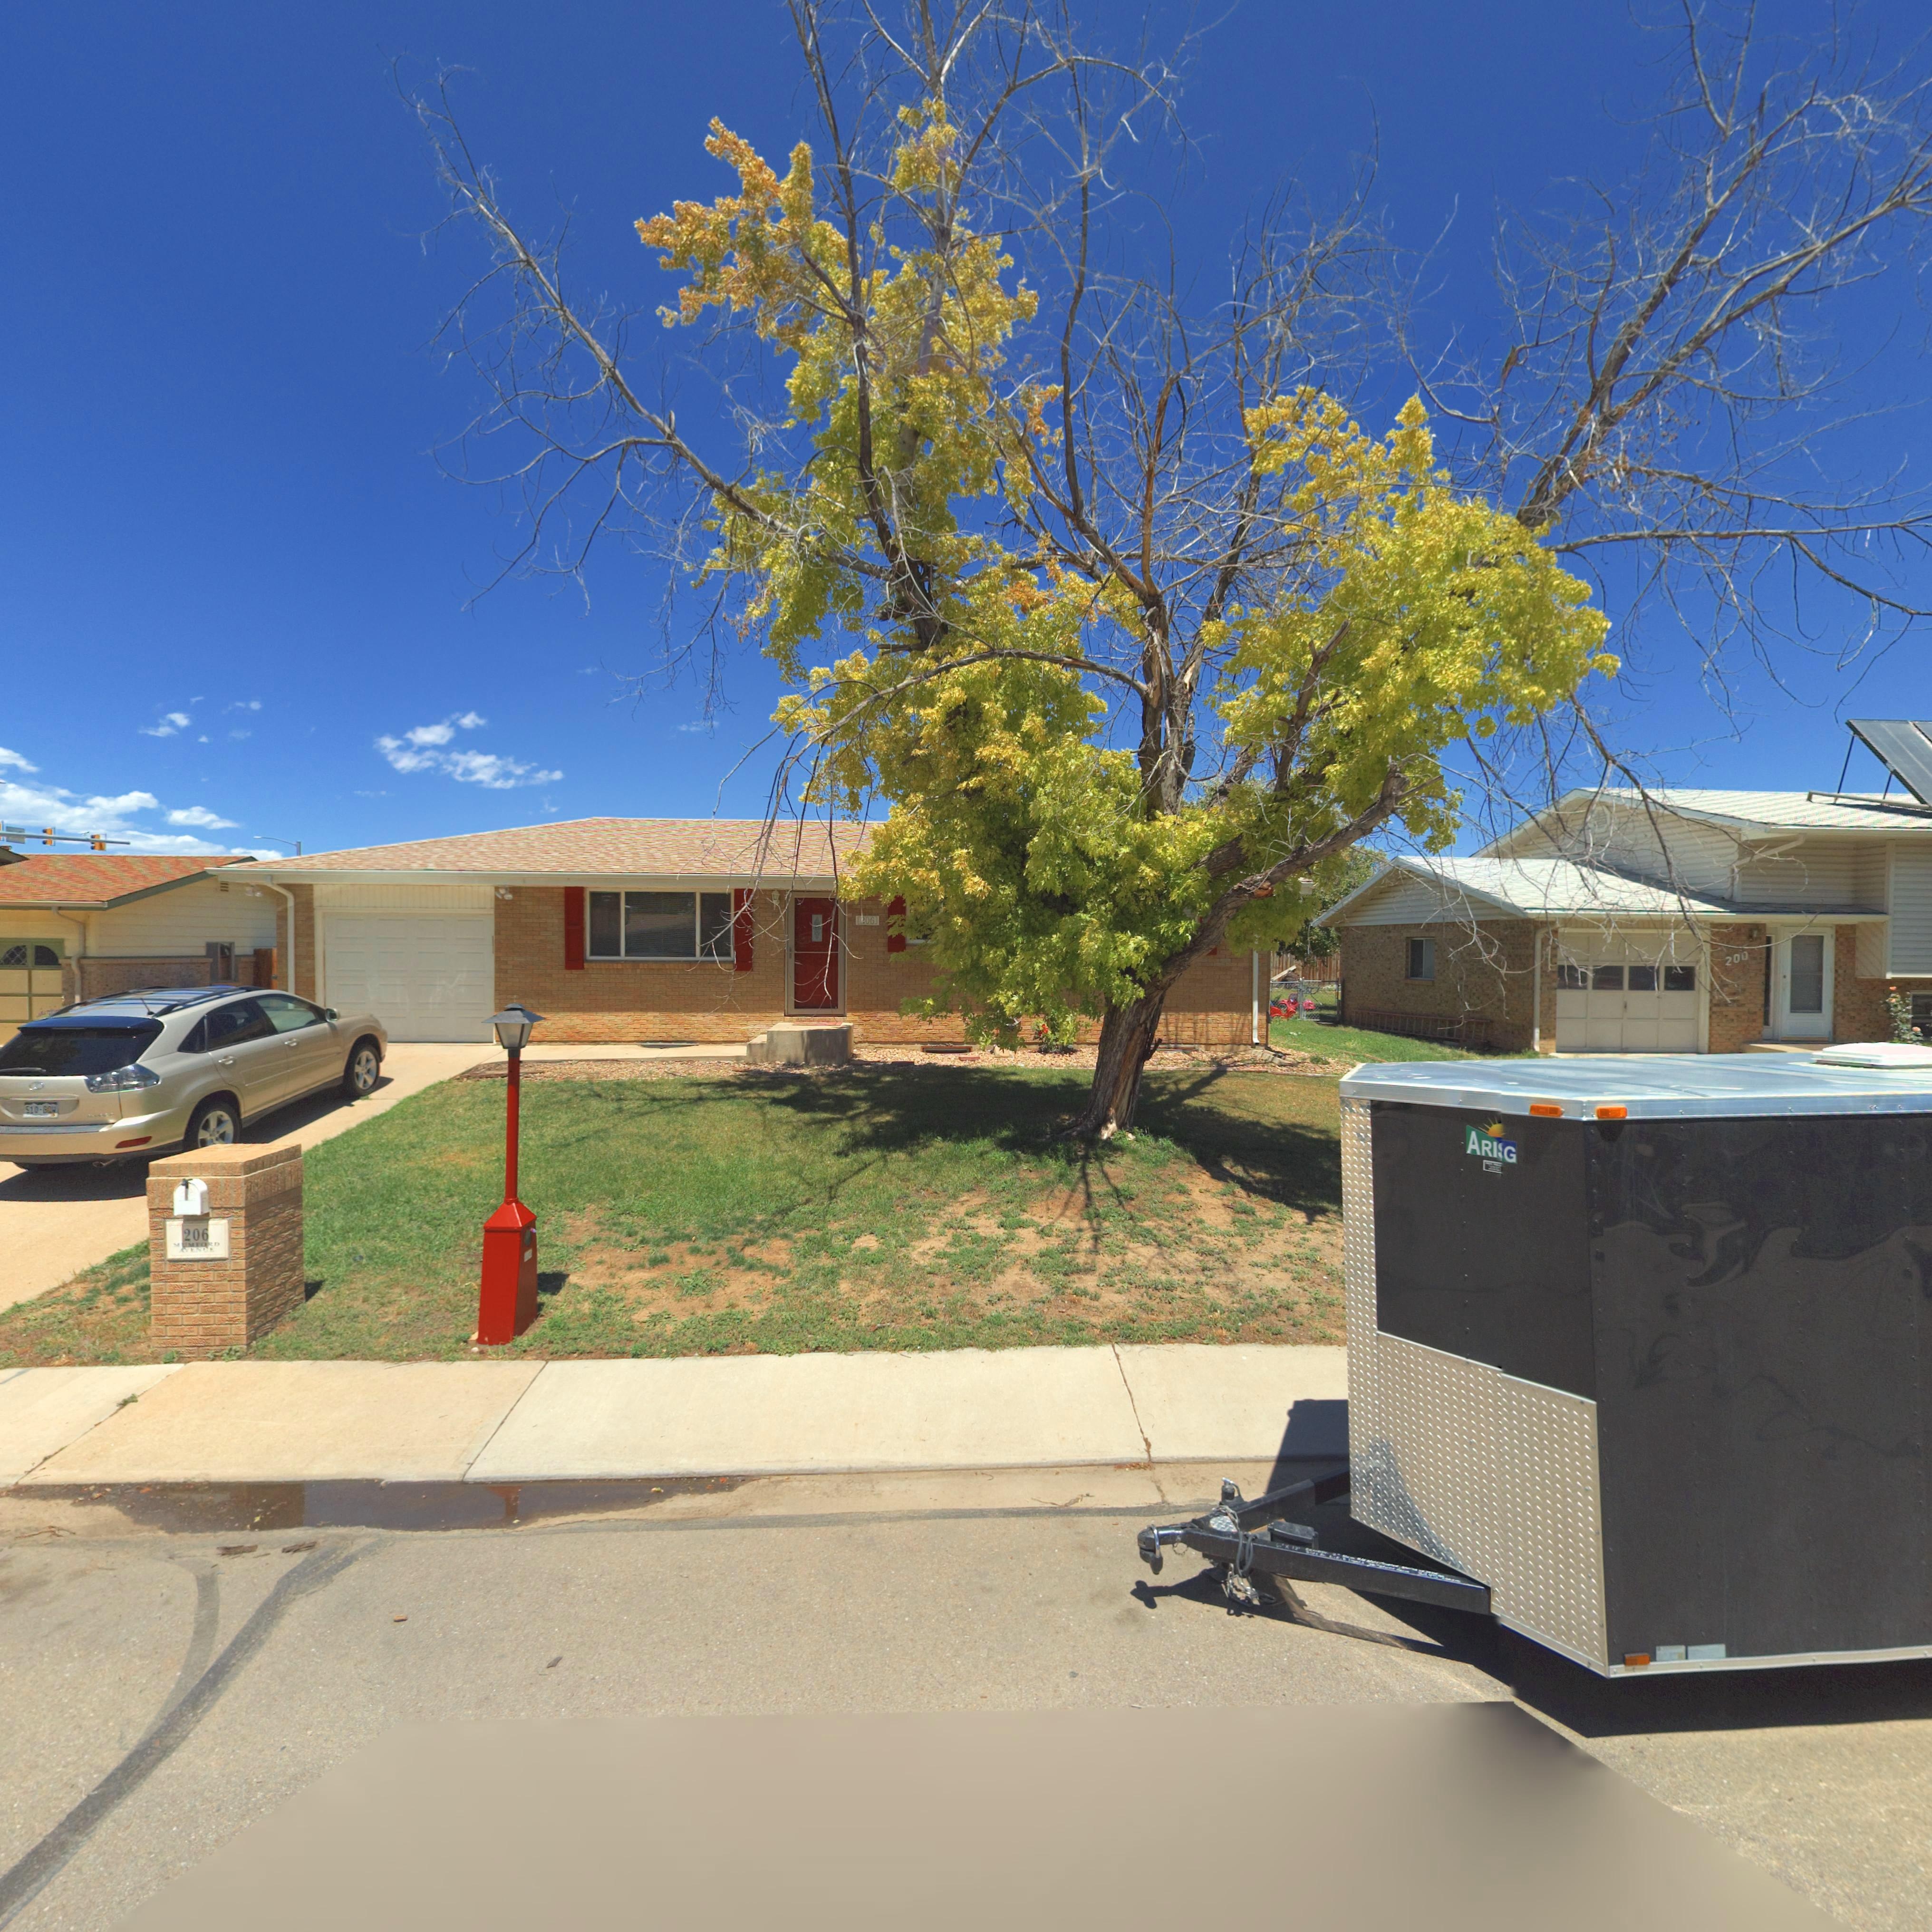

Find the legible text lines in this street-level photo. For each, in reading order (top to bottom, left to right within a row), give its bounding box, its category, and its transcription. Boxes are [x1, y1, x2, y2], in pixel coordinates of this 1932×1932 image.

[860, 916, 874, 924] StreetNumber: *06
[1725, 951, 1748, 966] StreetNumber: 200
[183, 1227, 209, 1241] StreetNumber: 206